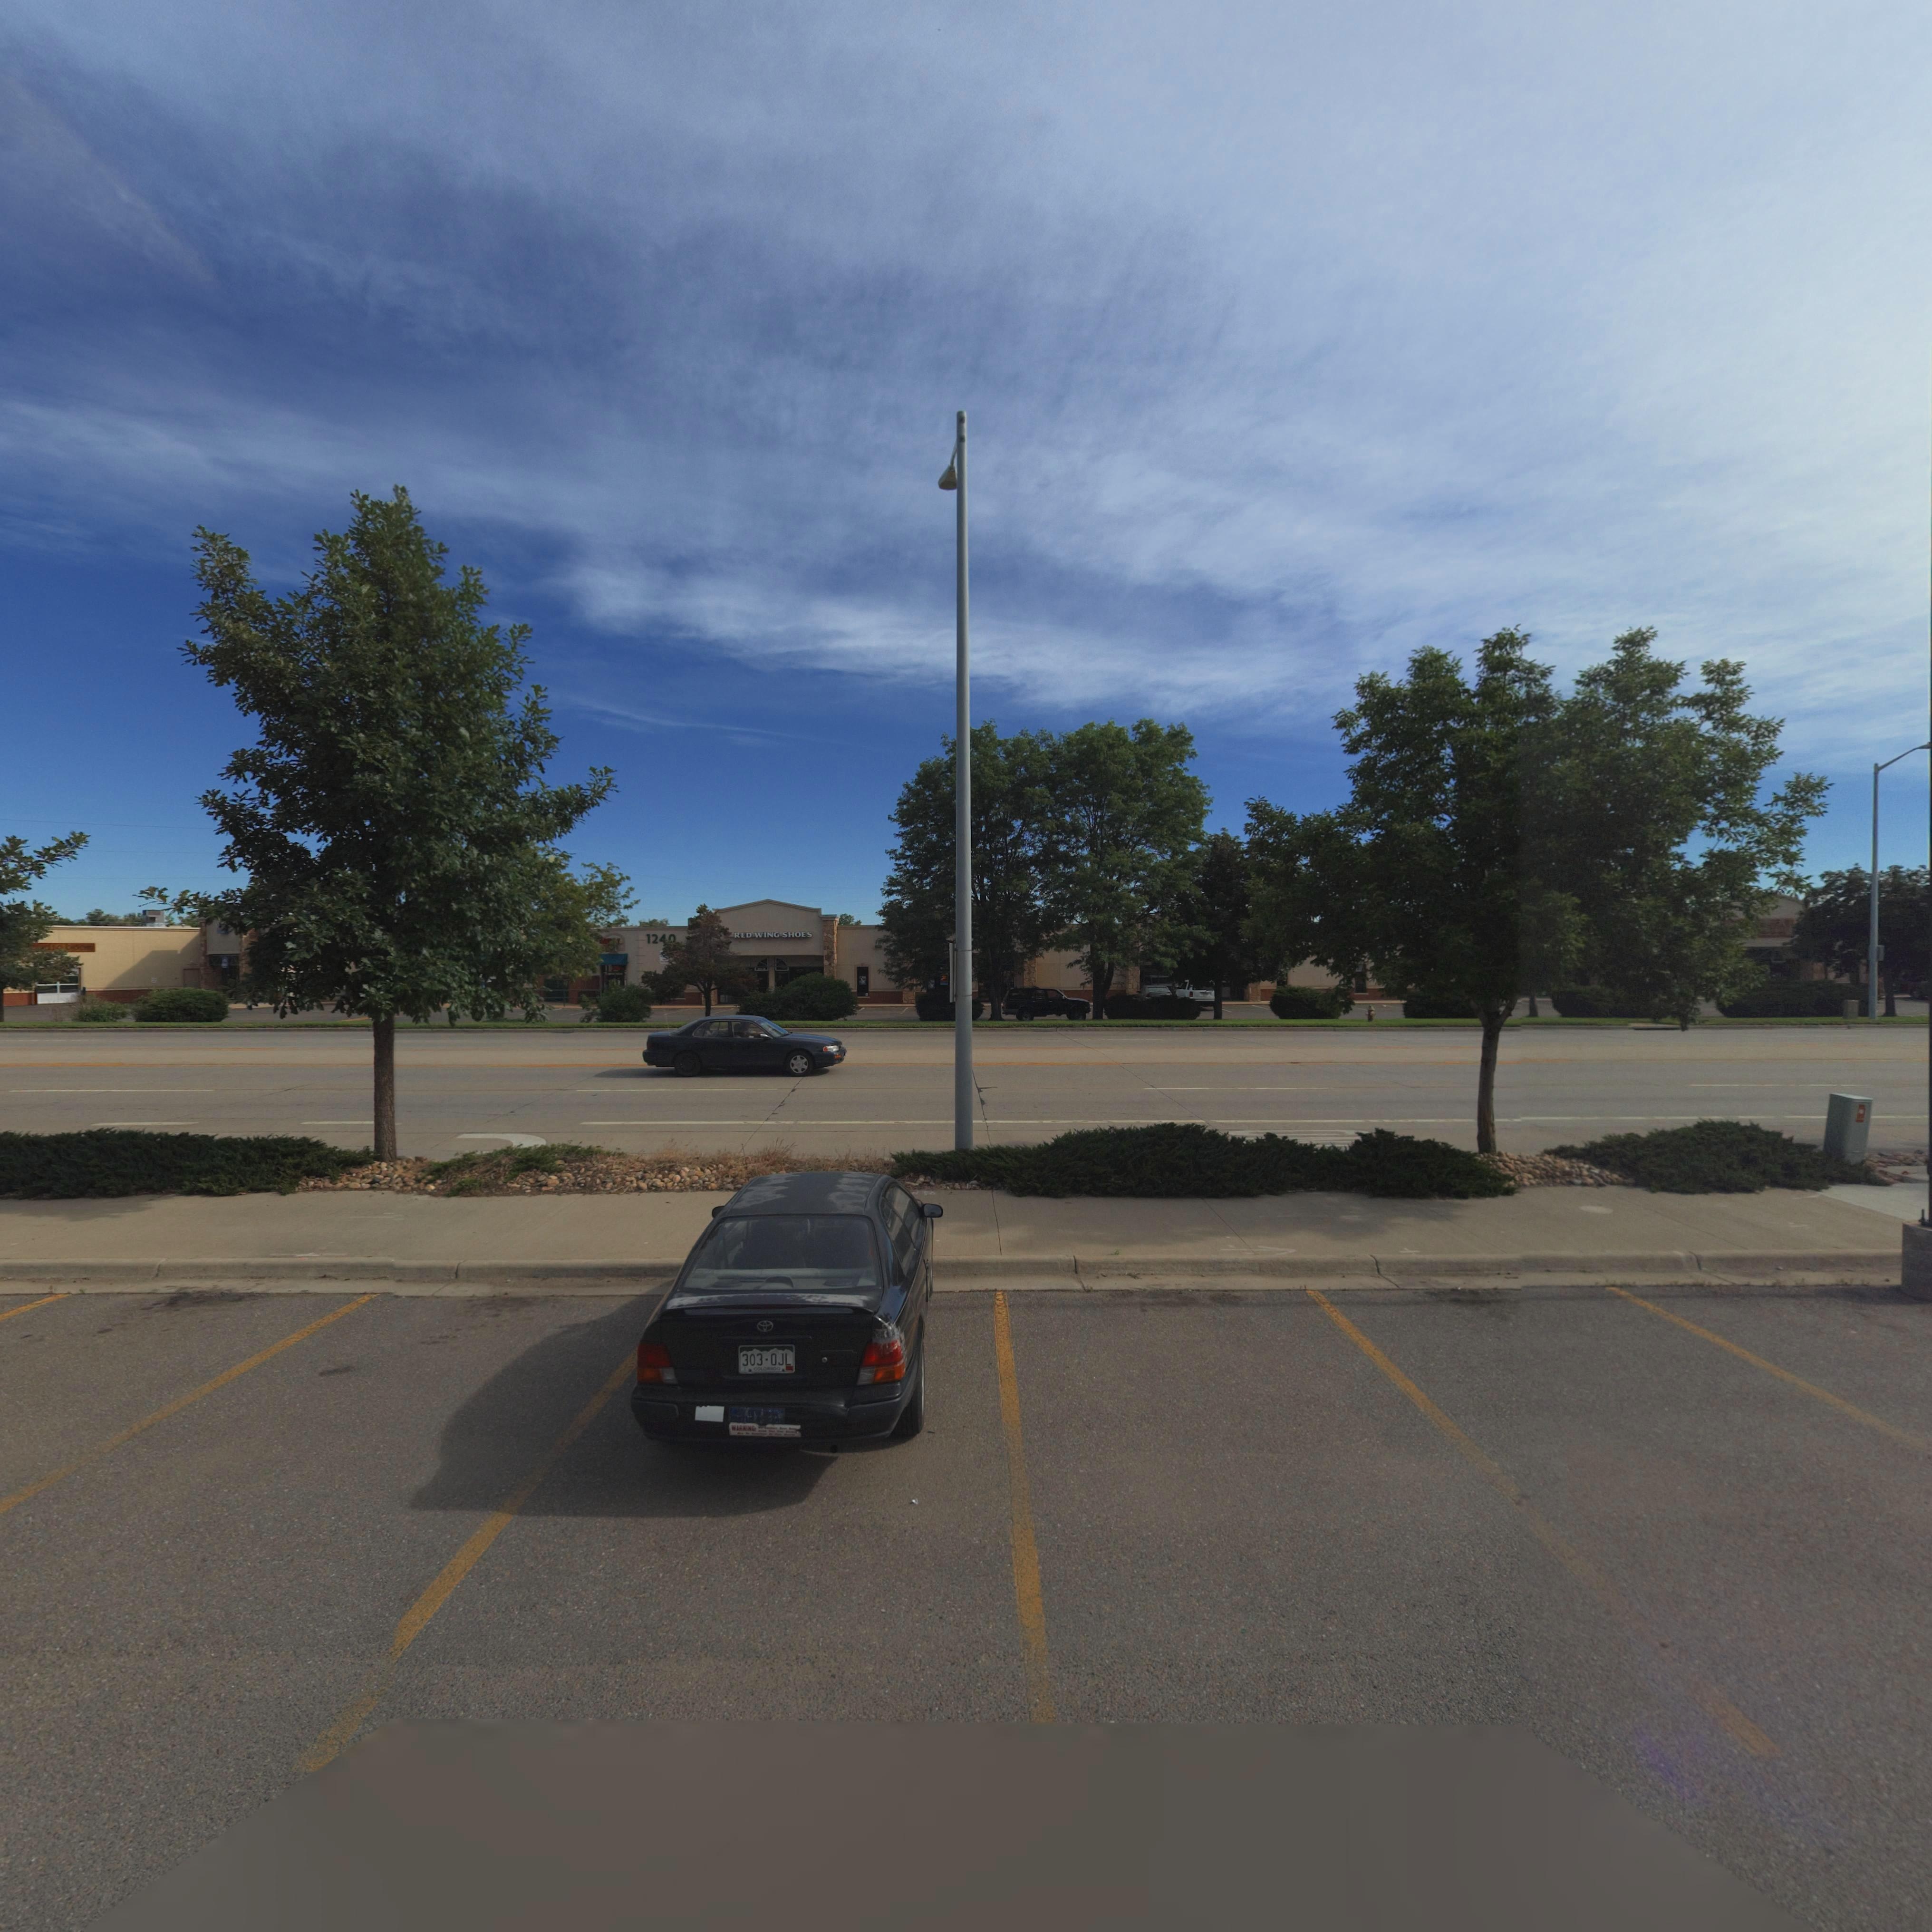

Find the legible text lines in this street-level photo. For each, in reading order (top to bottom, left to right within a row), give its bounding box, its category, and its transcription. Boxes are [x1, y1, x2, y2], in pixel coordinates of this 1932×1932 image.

[646, 933, 676, 943] StreetNumber: 1240
[734, 931, 812, 938] BusinessName: RED WING SHOES